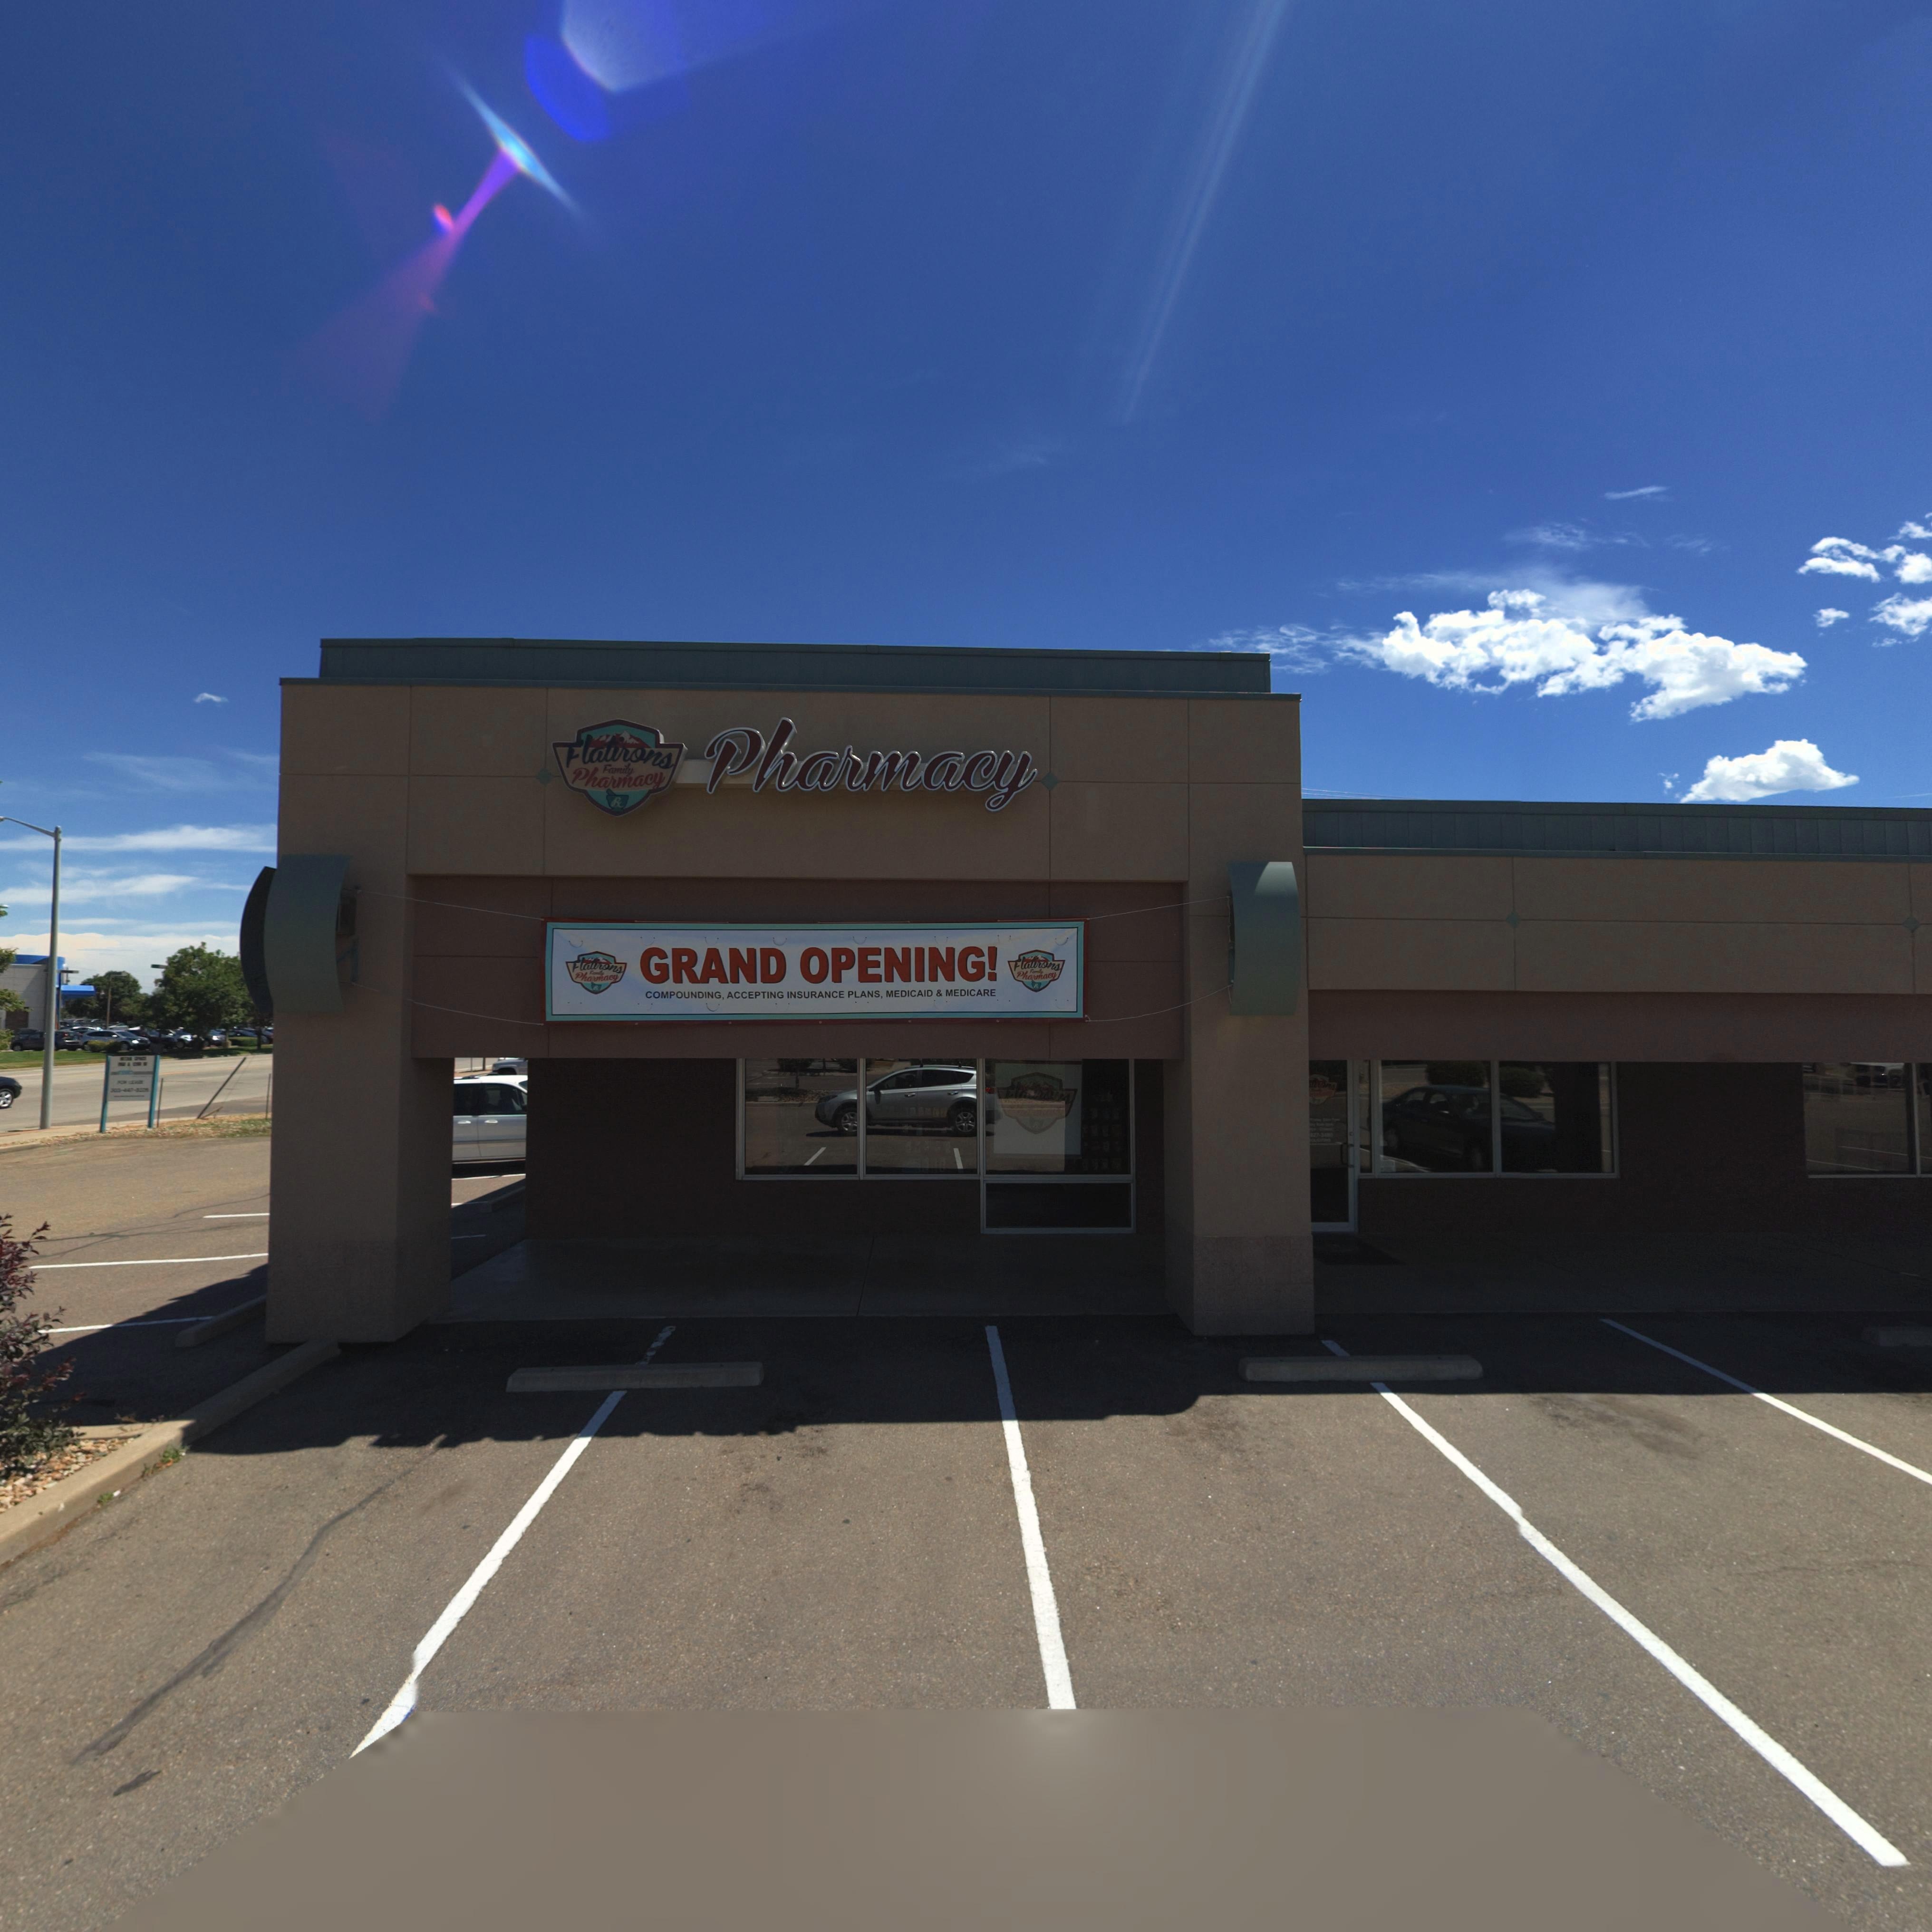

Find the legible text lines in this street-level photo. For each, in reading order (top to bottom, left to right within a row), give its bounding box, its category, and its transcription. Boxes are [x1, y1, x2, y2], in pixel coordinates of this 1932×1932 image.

[564, 732, 676, 771] BusinessName: Flatirons
[570, 765, 667, 792] BusinessName: Pharmacy
[1003, 1081, 1072, 1109] BusinessName: Flatirons
[1006, 1103, 1066, 1119] BusinessName: ****macy